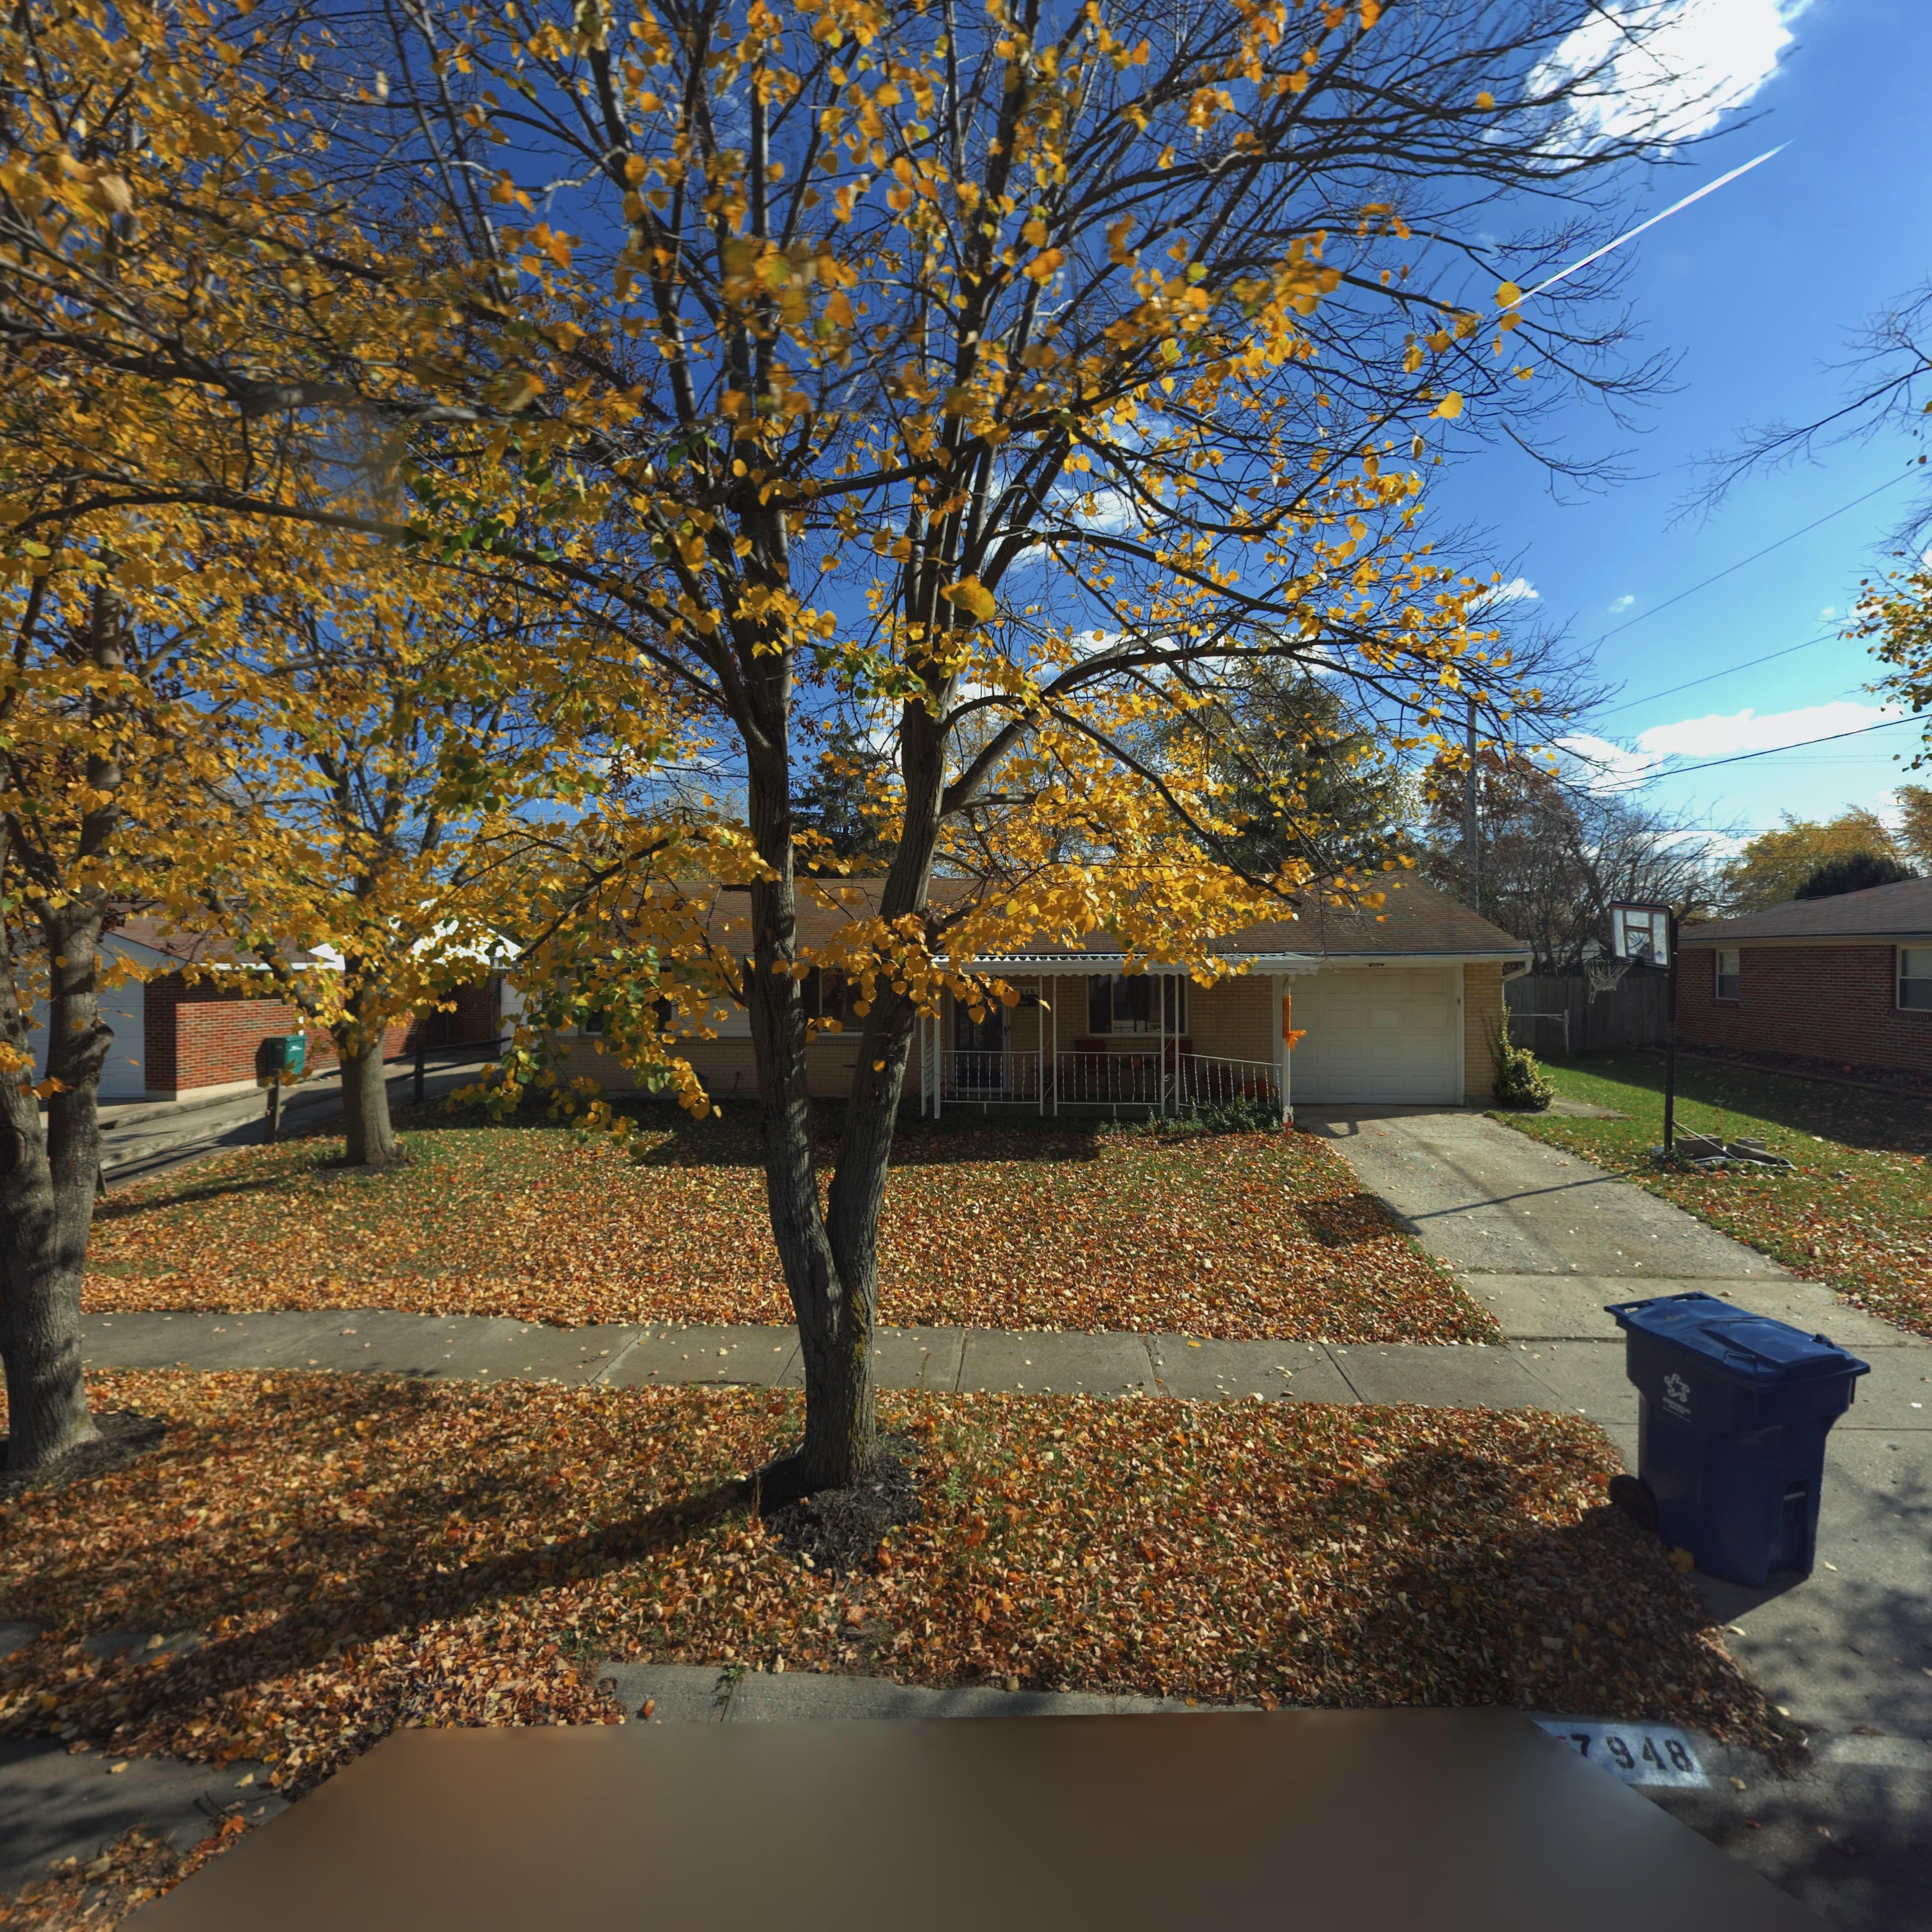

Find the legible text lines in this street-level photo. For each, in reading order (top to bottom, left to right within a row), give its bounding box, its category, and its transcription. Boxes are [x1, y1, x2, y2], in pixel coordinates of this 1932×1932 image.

[1017, 987, 1035, 996] StreetNumber: *48
[1603, 1734, 1698, 1775] StreetNumber: 948